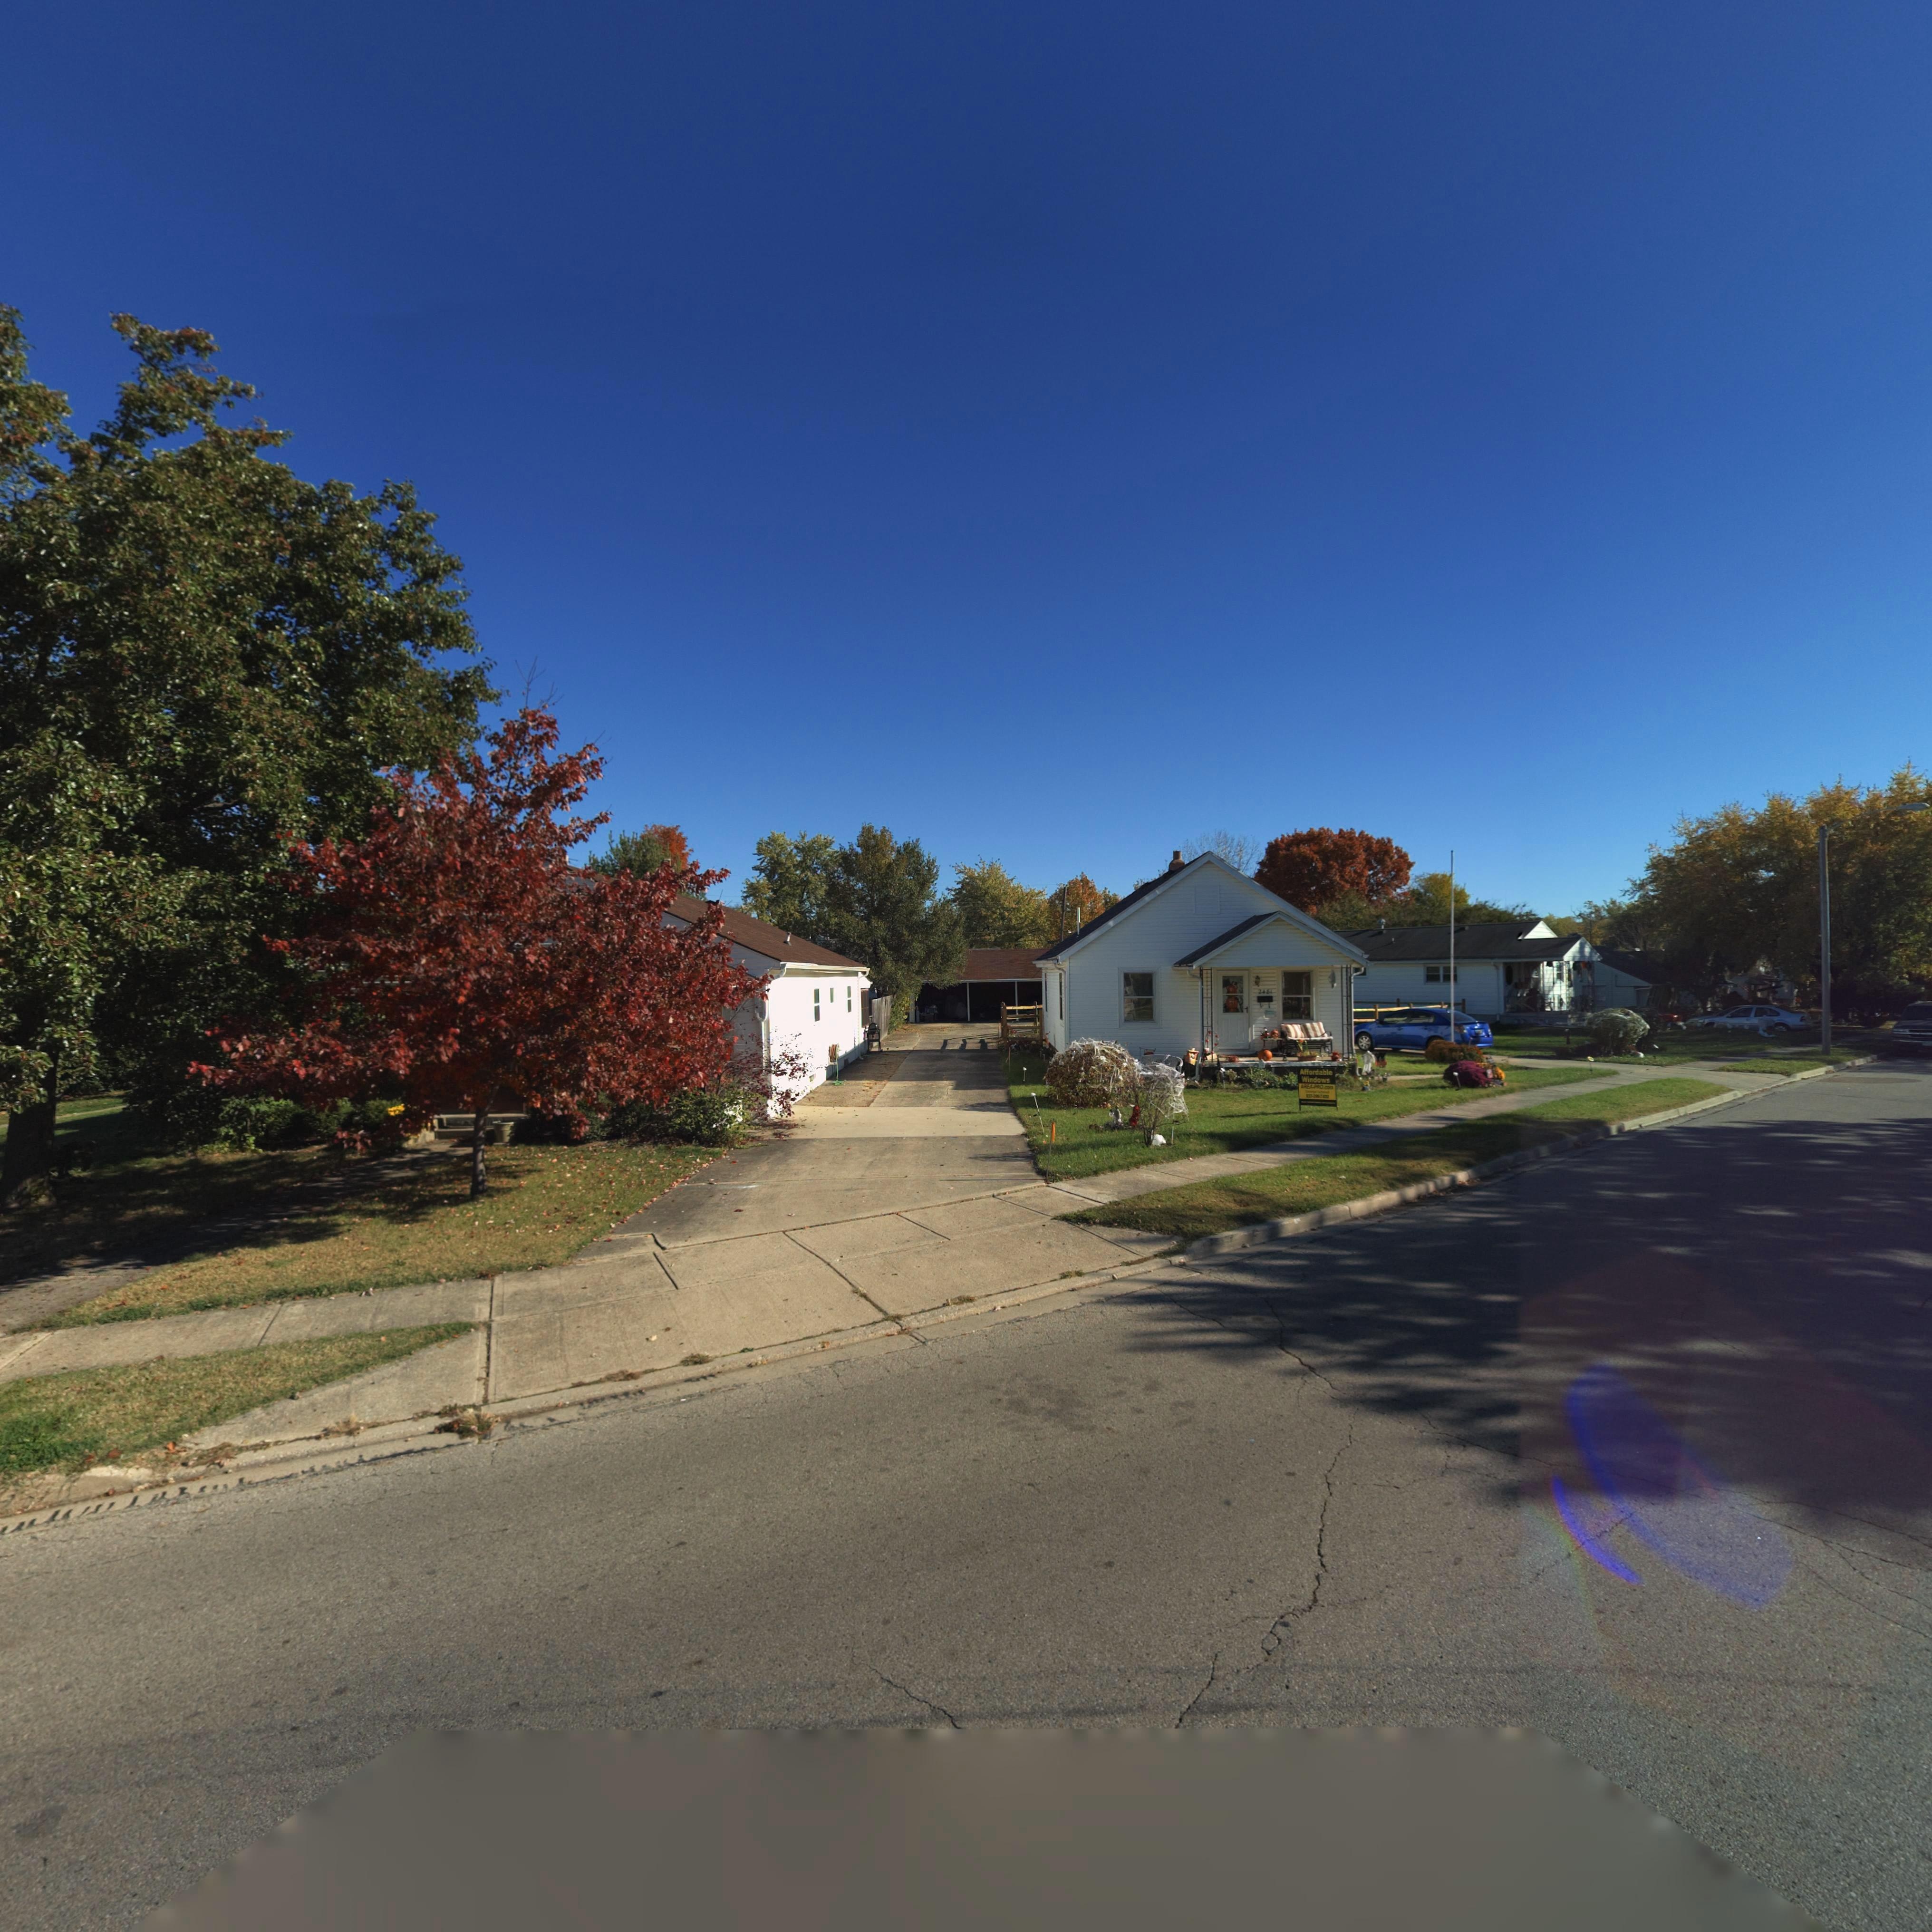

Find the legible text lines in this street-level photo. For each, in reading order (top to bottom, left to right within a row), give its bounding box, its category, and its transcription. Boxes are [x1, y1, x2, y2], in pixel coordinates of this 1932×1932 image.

[1257, 988, 1273, 995] StreetNumber: 248*